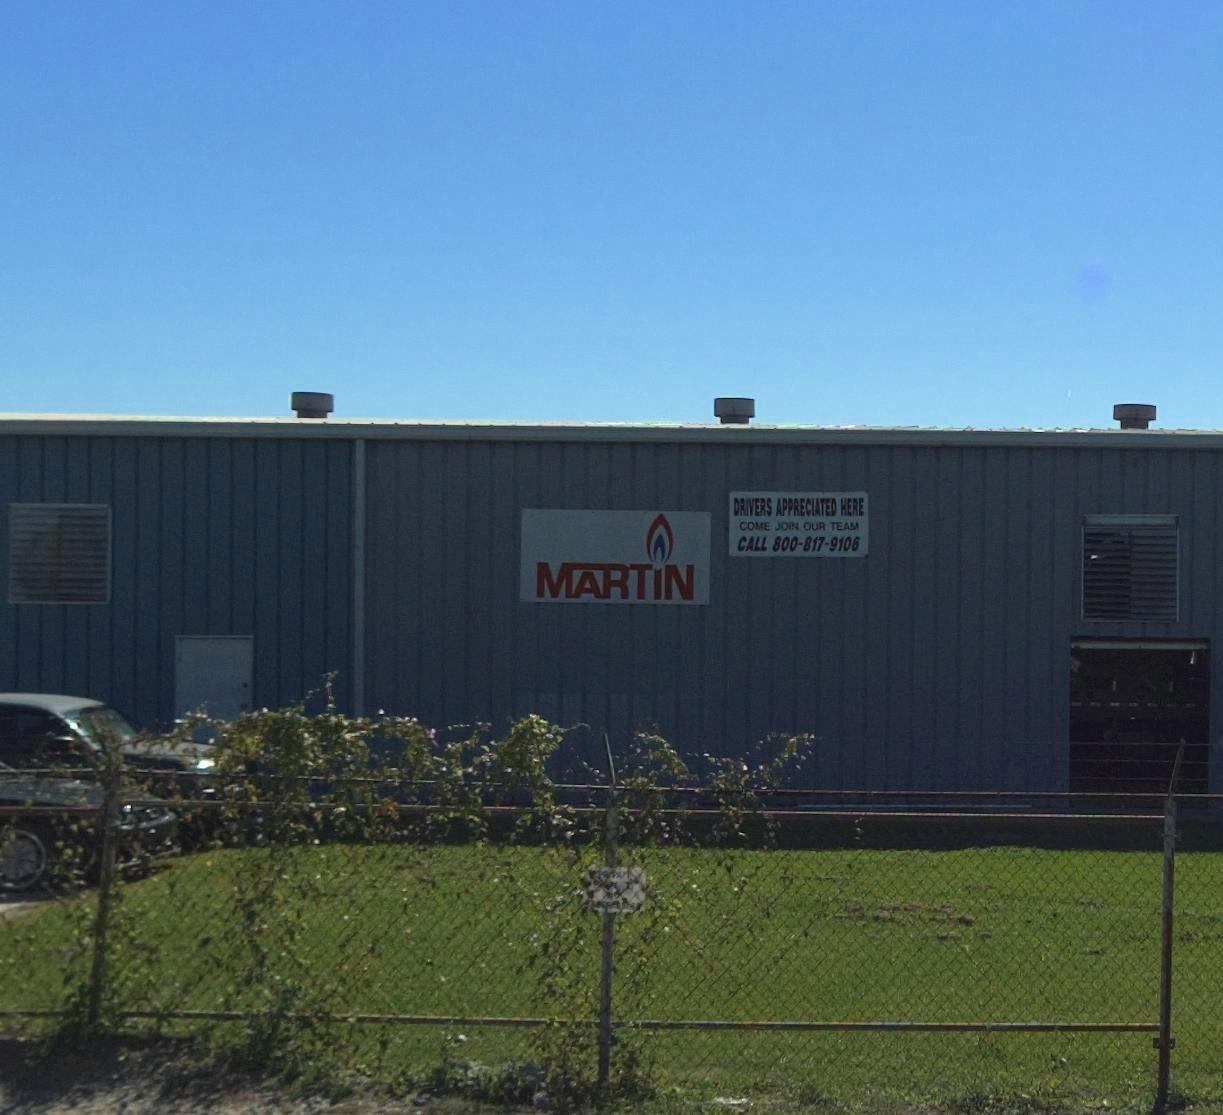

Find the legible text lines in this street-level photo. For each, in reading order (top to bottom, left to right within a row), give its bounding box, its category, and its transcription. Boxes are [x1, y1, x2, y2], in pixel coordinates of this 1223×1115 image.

[733, 496, 865, 517] None: DRIVERS APPRECIATED HERE
[738, 521, 860, 532] None: COME JOIN OUR TEAM
[736, 535, 861, 553] None: CALL 800-817-9106
[536, 562, 695, 601] BusinessName: MARTIN